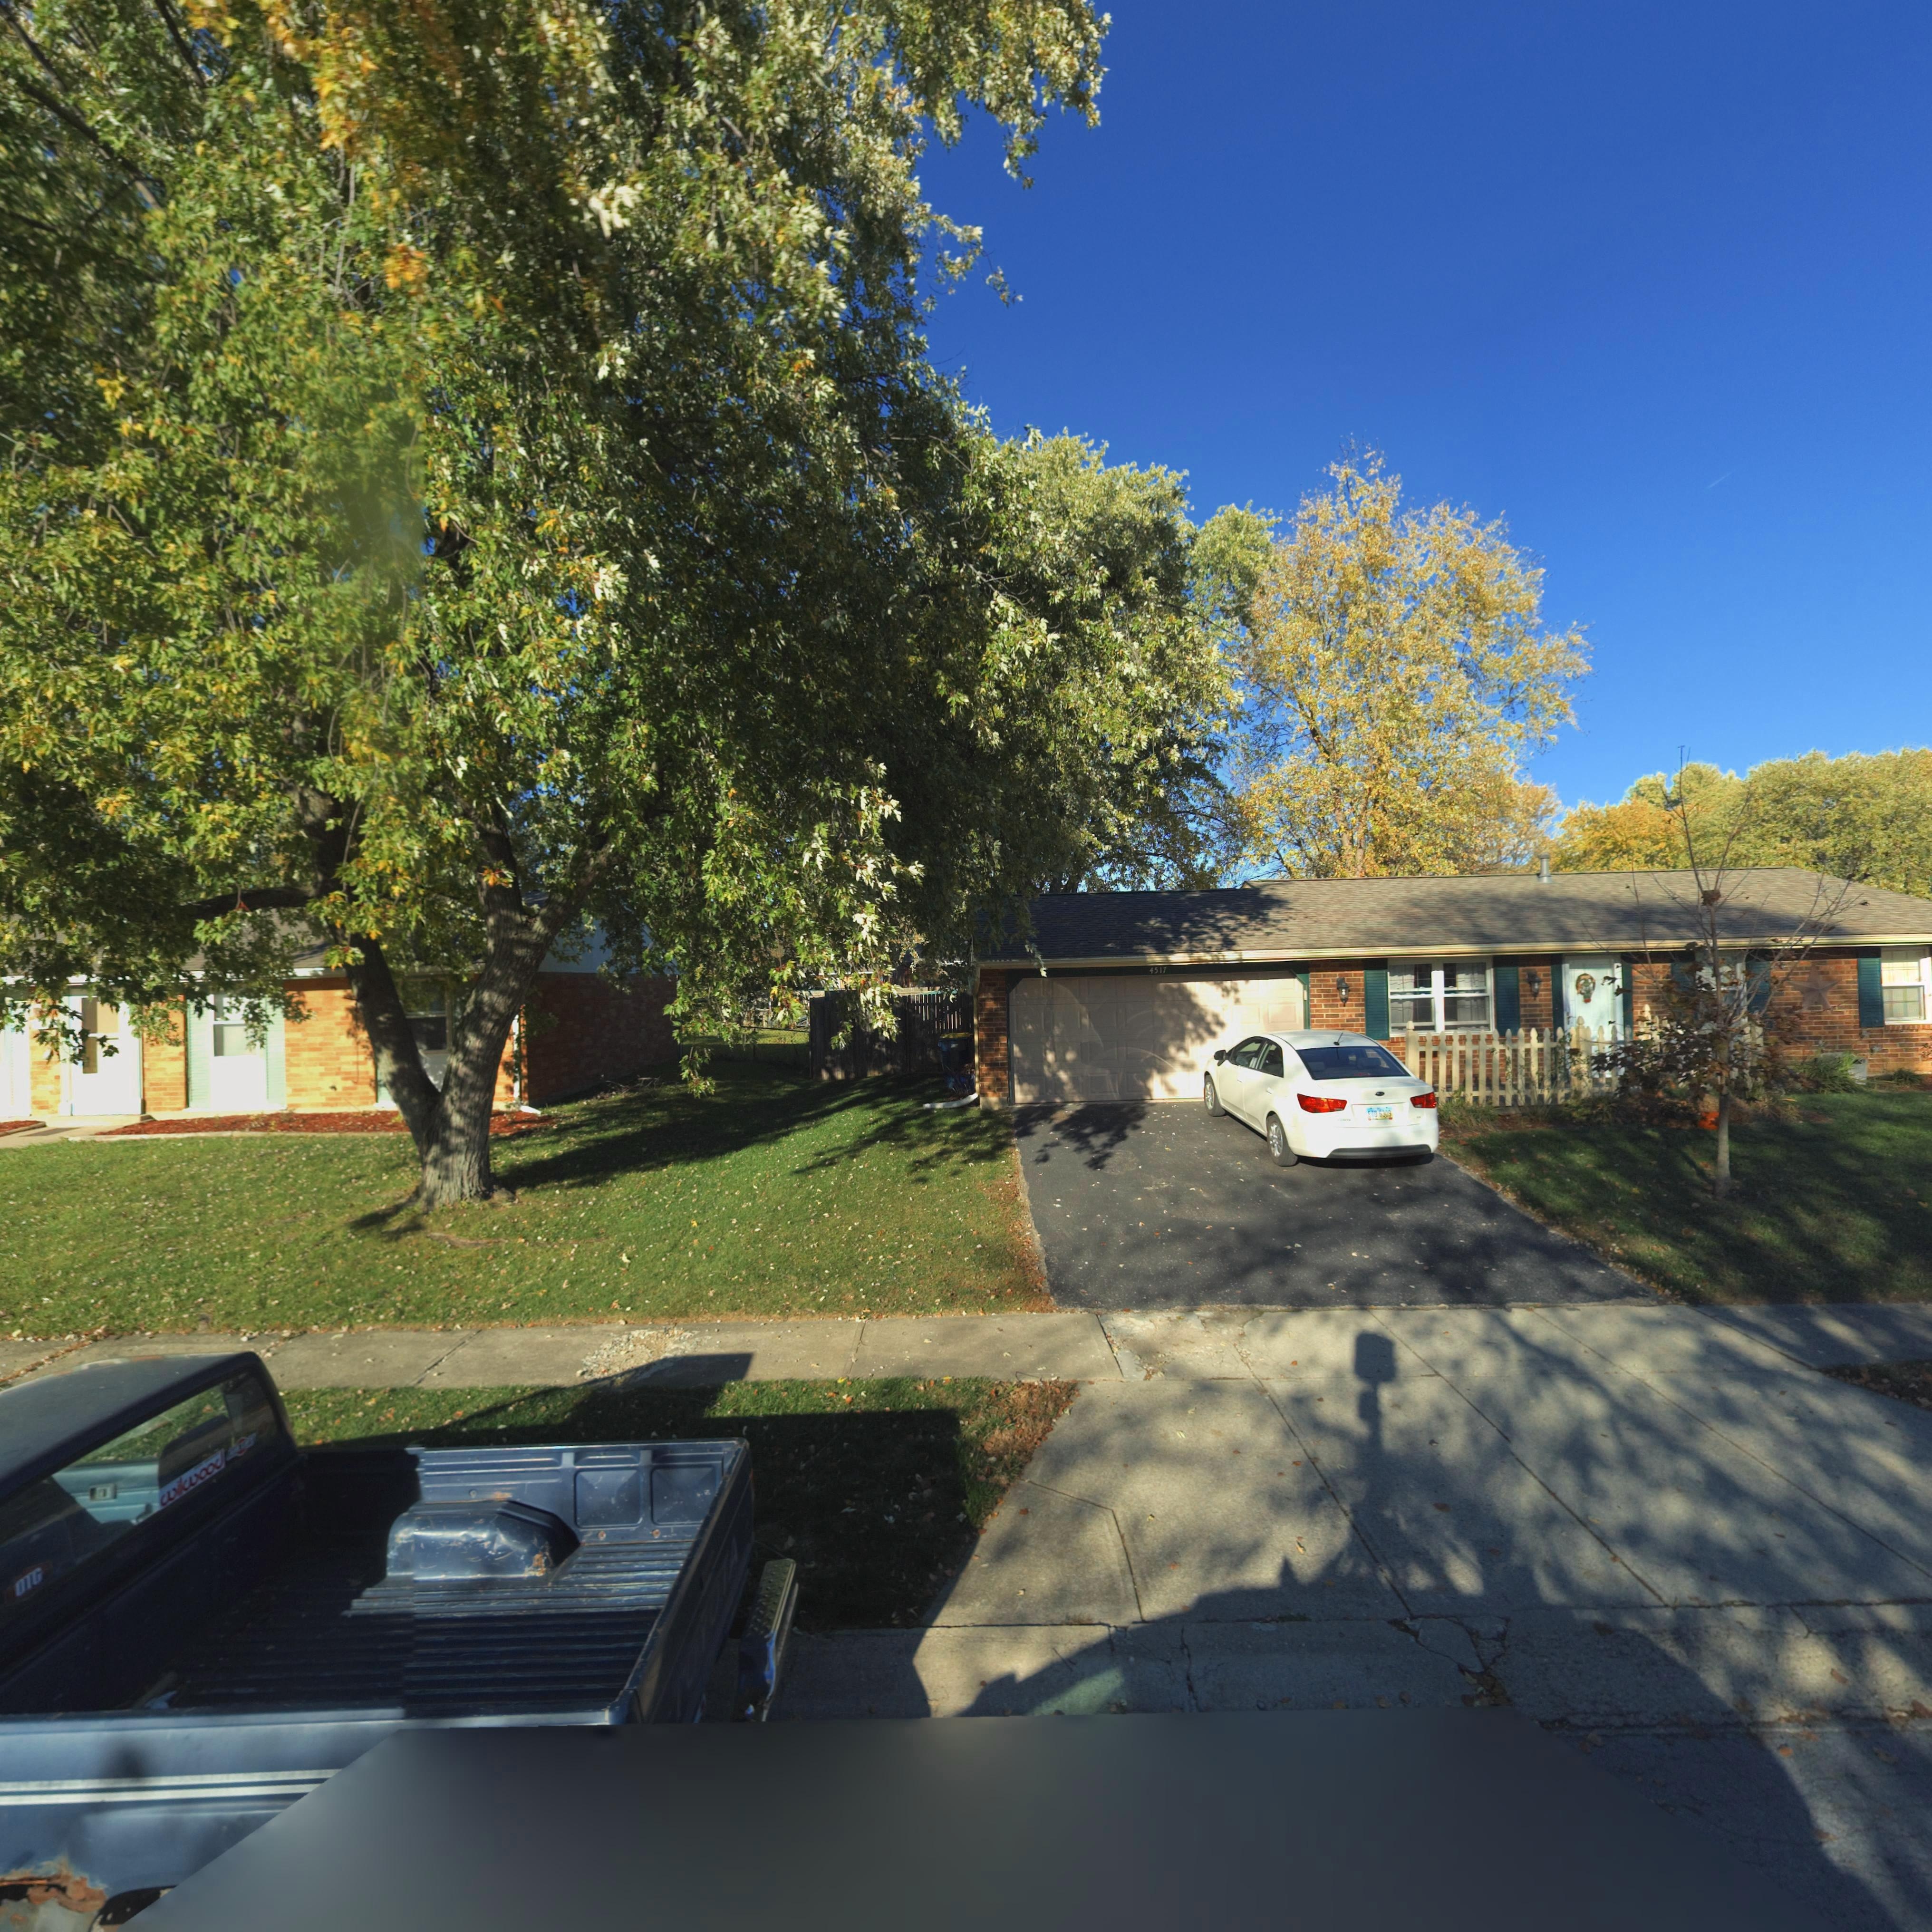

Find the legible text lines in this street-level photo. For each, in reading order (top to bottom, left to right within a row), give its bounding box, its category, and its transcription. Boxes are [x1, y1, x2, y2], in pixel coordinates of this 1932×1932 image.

[1149, 966, 1167, 975] StreetNumber: 4517